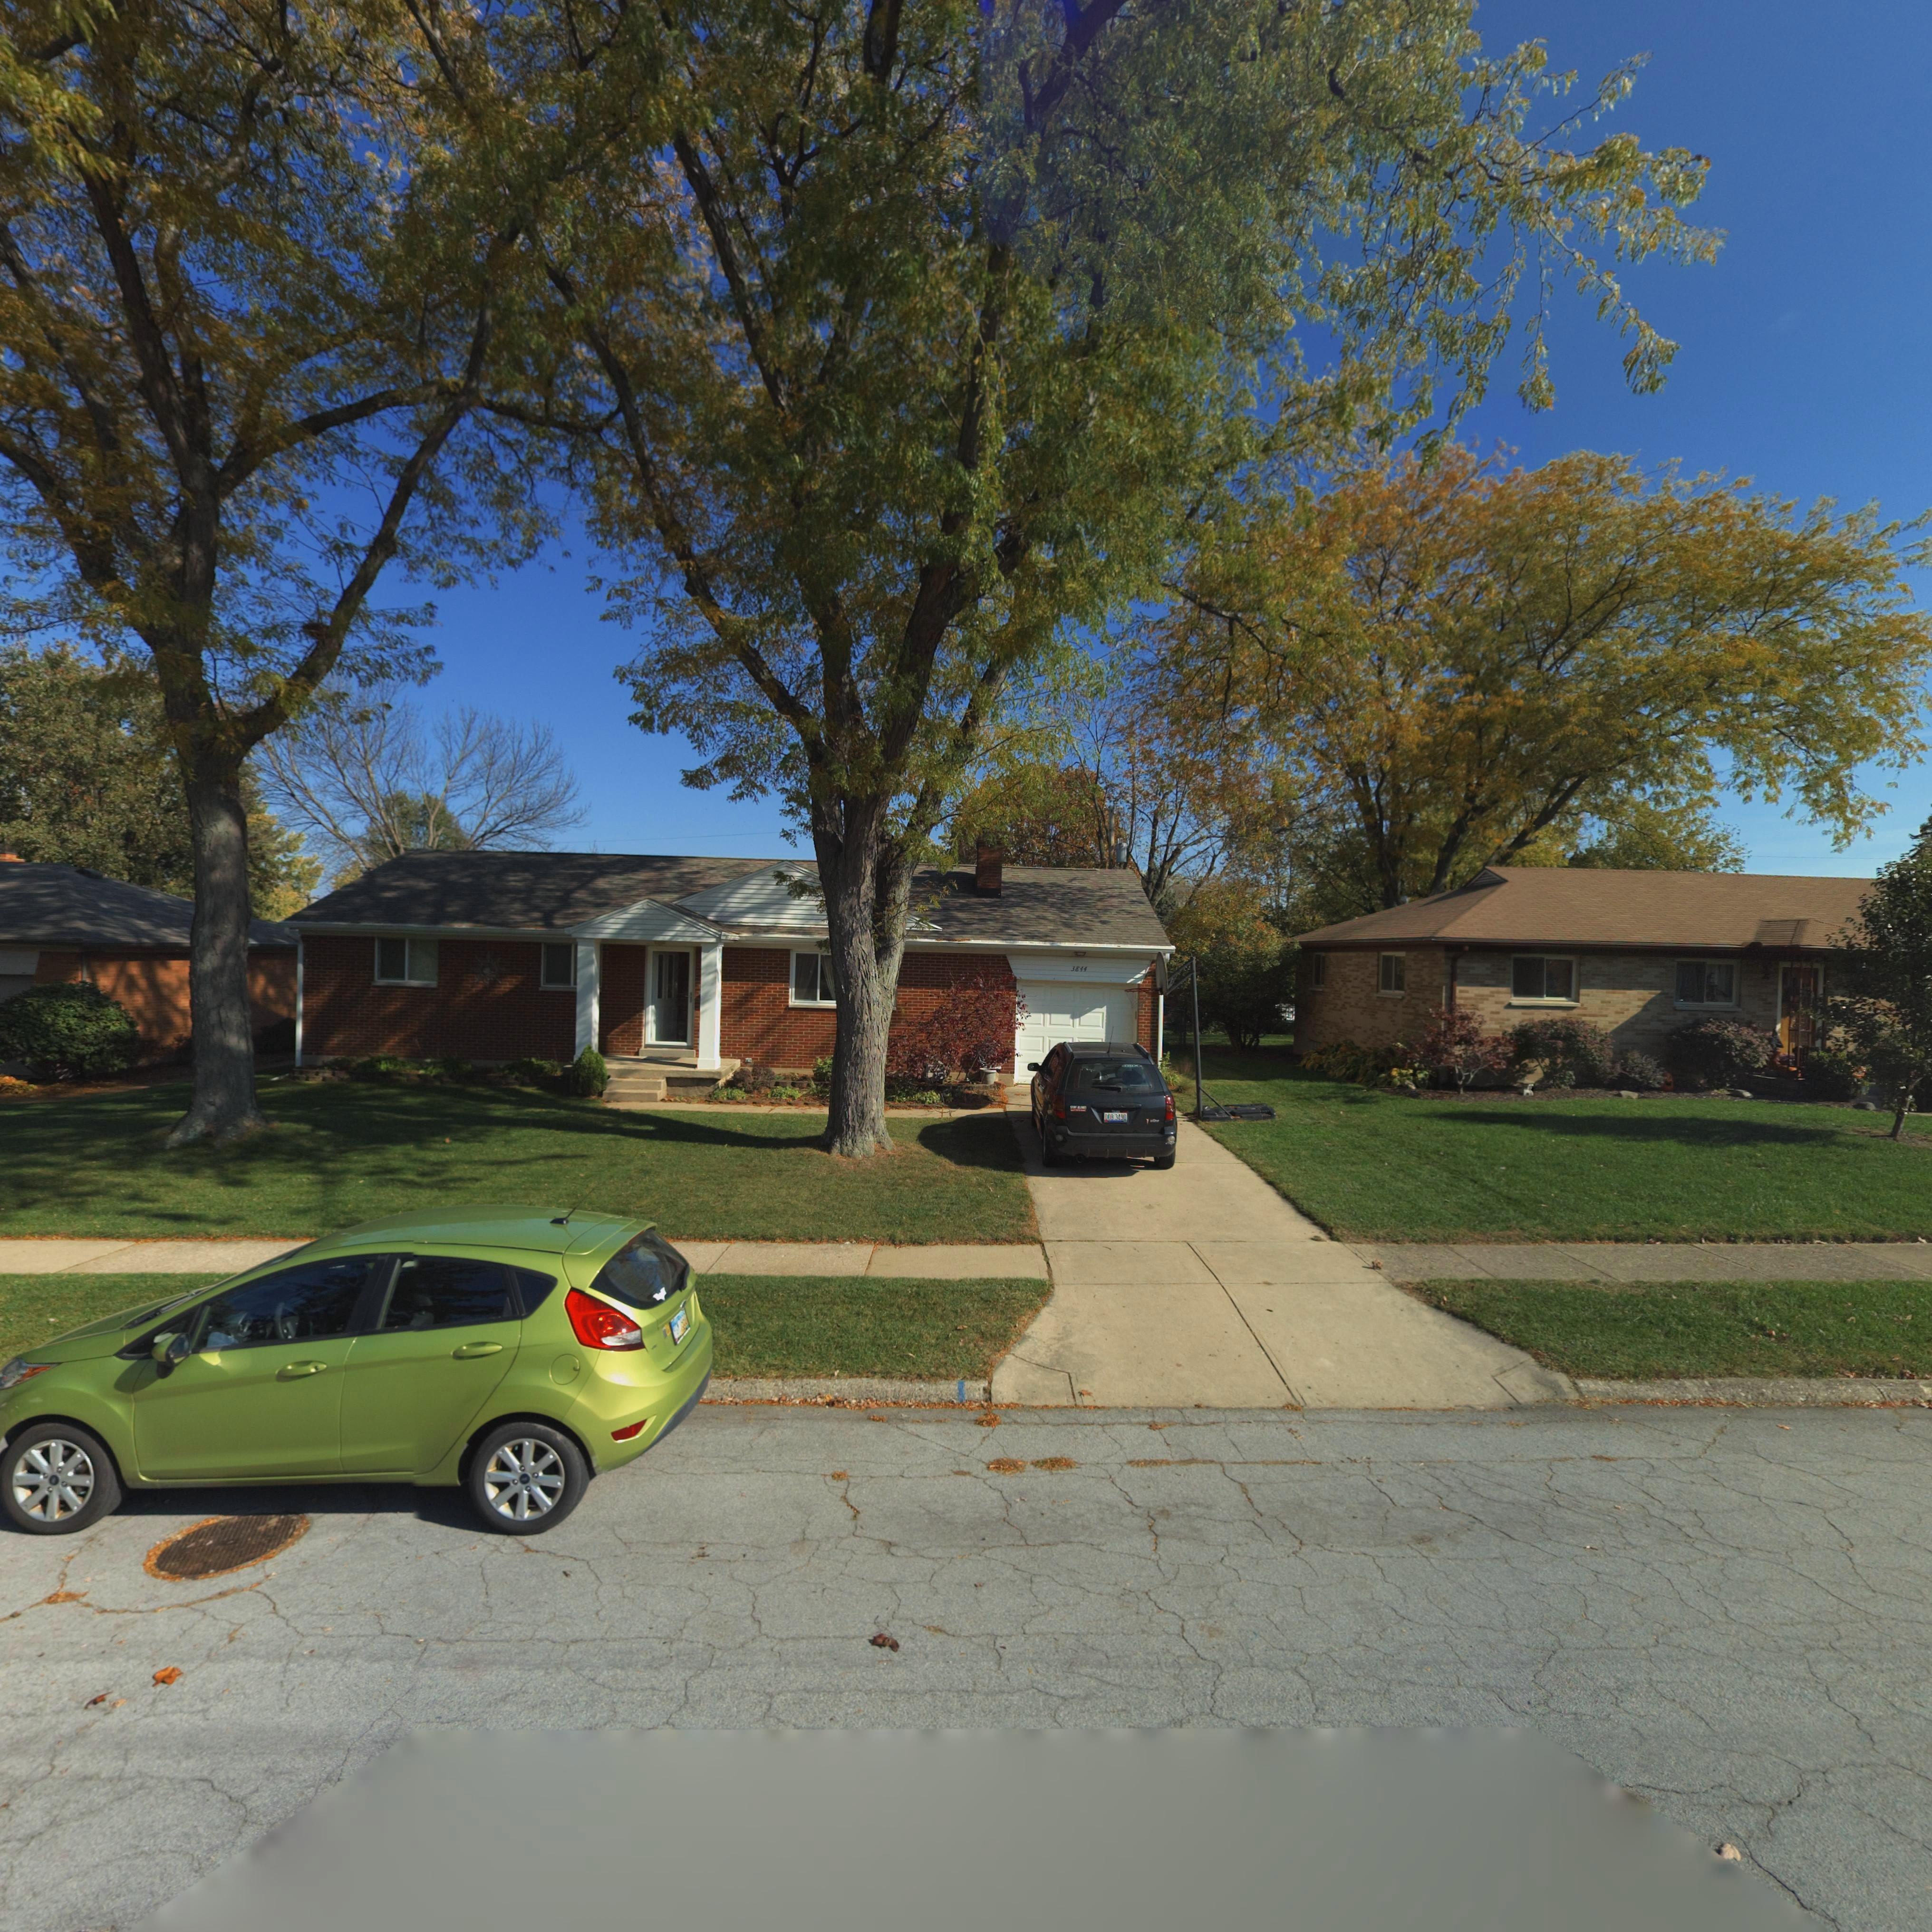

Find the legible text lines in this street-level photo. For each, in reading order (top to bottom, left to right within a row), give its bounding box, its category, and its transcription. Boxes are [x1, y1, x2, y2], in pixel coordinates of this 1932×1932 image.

[1069, 966, 1088, 972] StreetNumber: 3844
[1104, 1113, 1126, 1121] None: DOB 3490